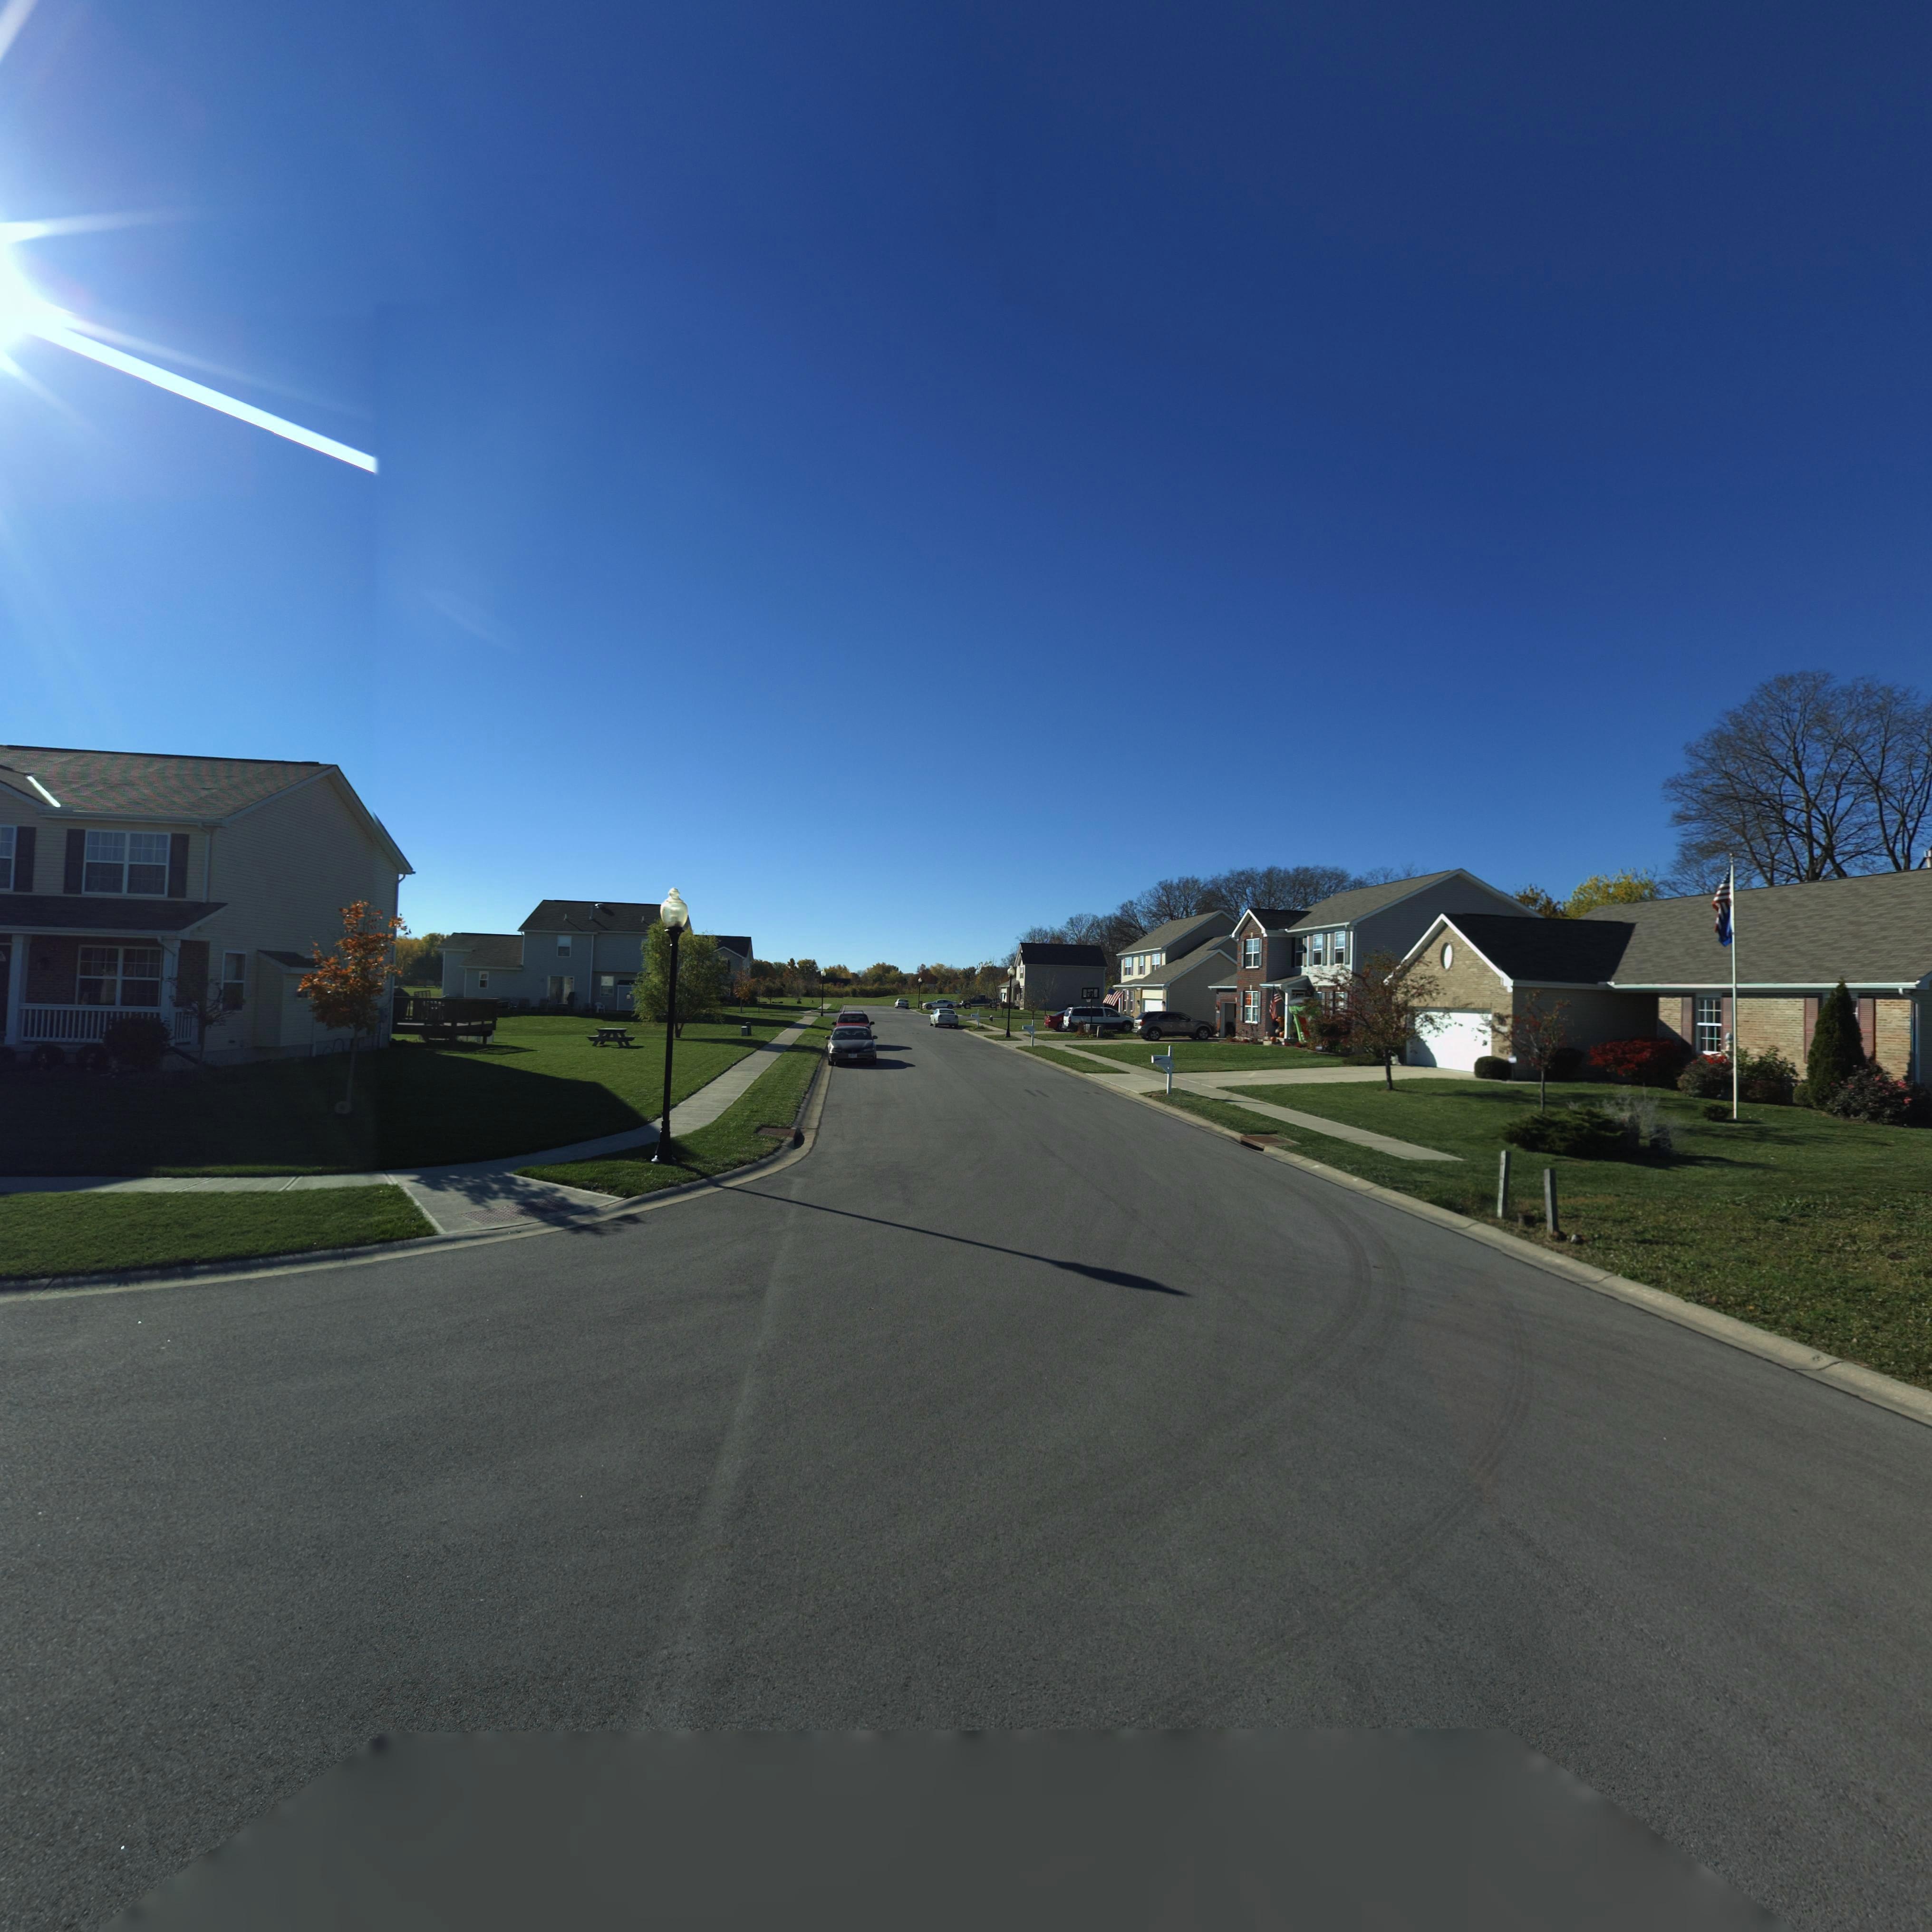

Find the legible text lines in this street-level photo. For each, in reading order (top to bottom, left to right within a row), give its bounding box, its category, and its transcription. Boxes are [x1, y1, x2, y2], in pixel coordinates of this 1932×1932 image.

[1170, 1050, 1173, 1060] StreetNumber: *0*